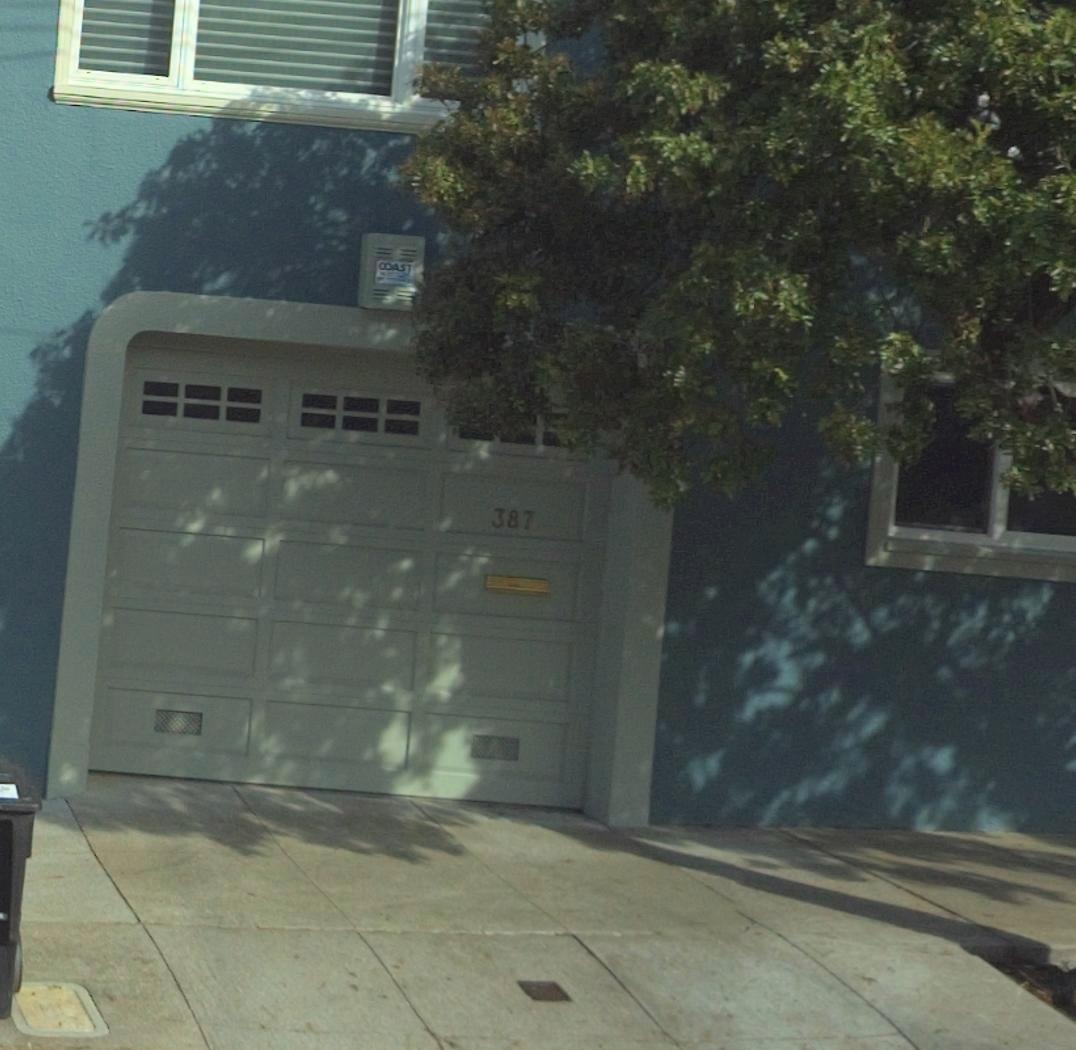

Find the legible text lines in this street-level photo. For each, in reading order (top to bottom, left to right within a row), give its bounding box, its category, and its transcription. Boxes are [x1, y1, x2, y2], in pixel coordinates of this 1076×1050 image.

[377, 261, 413, 274] None: COAST
[492, 507, 536, 531] StreetNumber: 387